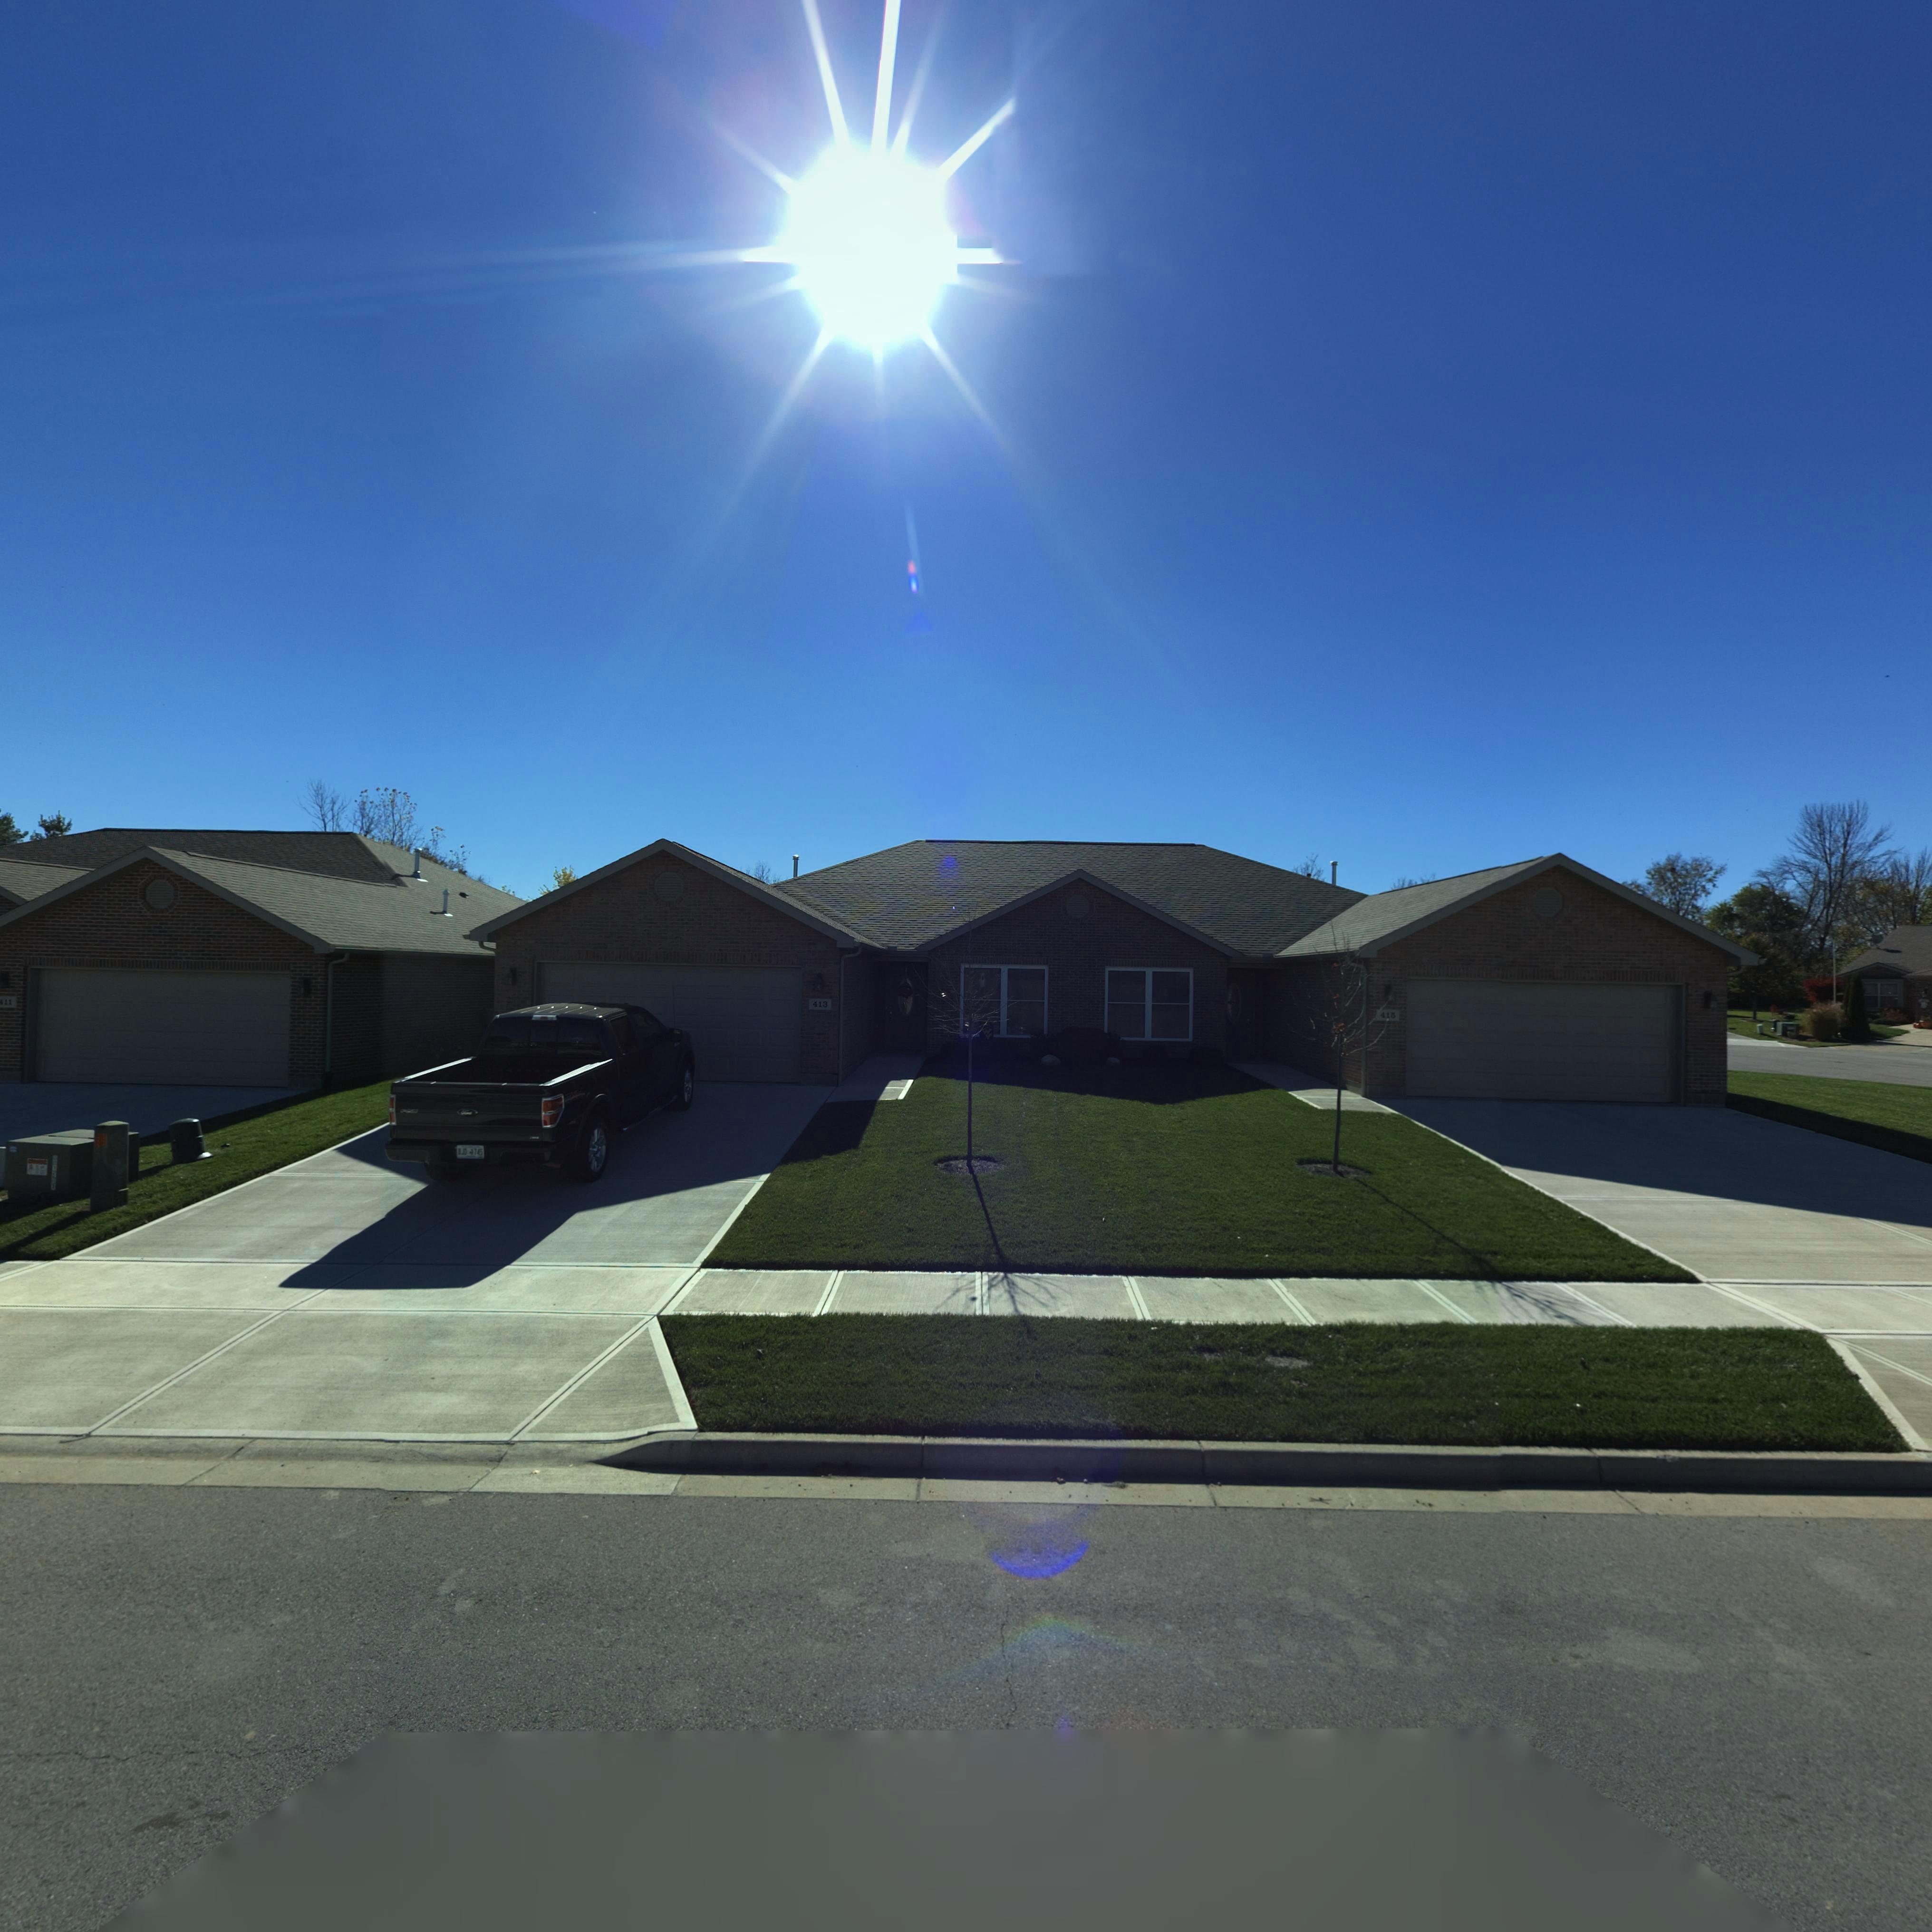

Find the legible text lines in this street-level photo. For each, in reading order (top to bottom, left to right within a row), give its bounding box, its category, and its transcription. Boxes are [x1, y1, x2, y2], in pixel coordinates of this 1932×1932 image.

[3, 998, 13, 1006] StreetNumber: 11
[811, 1000, 828, 1008] StreetNumber: 413
[1380, 1011, 1397, 1019] StreetNumber: 415